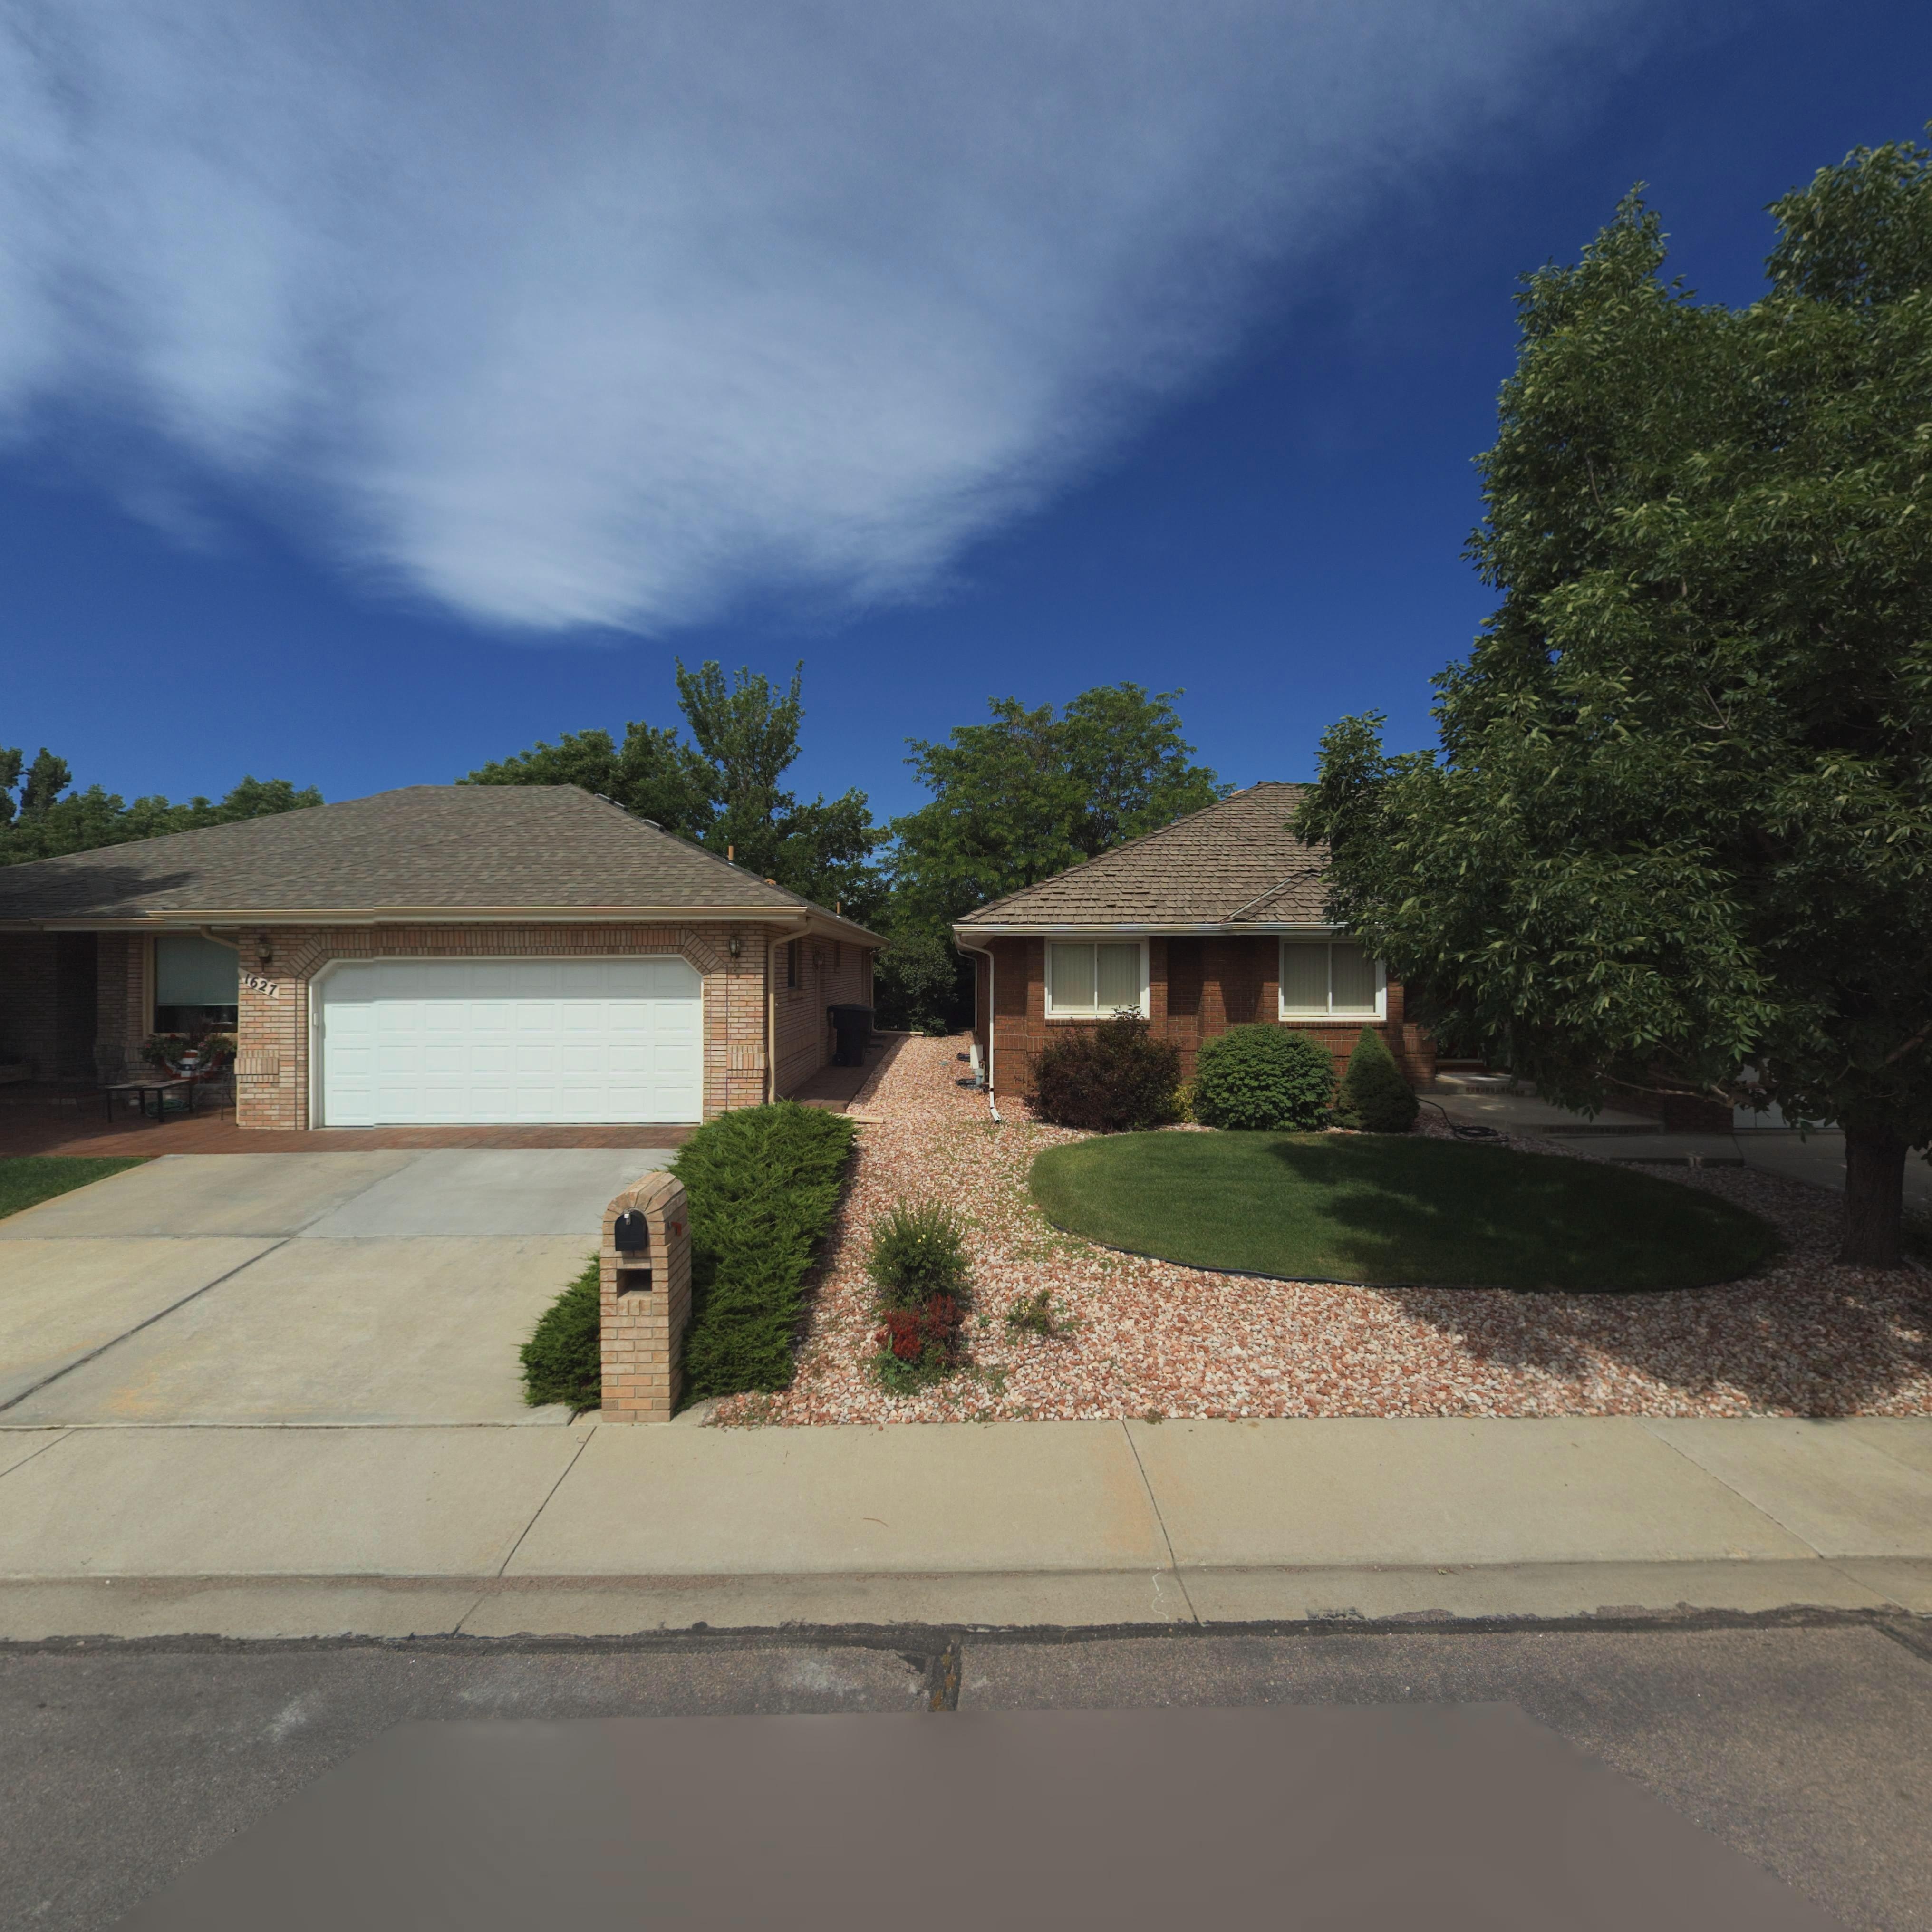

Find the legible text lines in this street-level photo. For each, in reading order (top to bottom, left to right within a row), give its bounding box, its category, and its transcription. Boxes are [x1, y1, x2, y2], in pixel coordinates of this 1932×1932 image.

[244, 973, 278, 995] StreetNumber: 1627